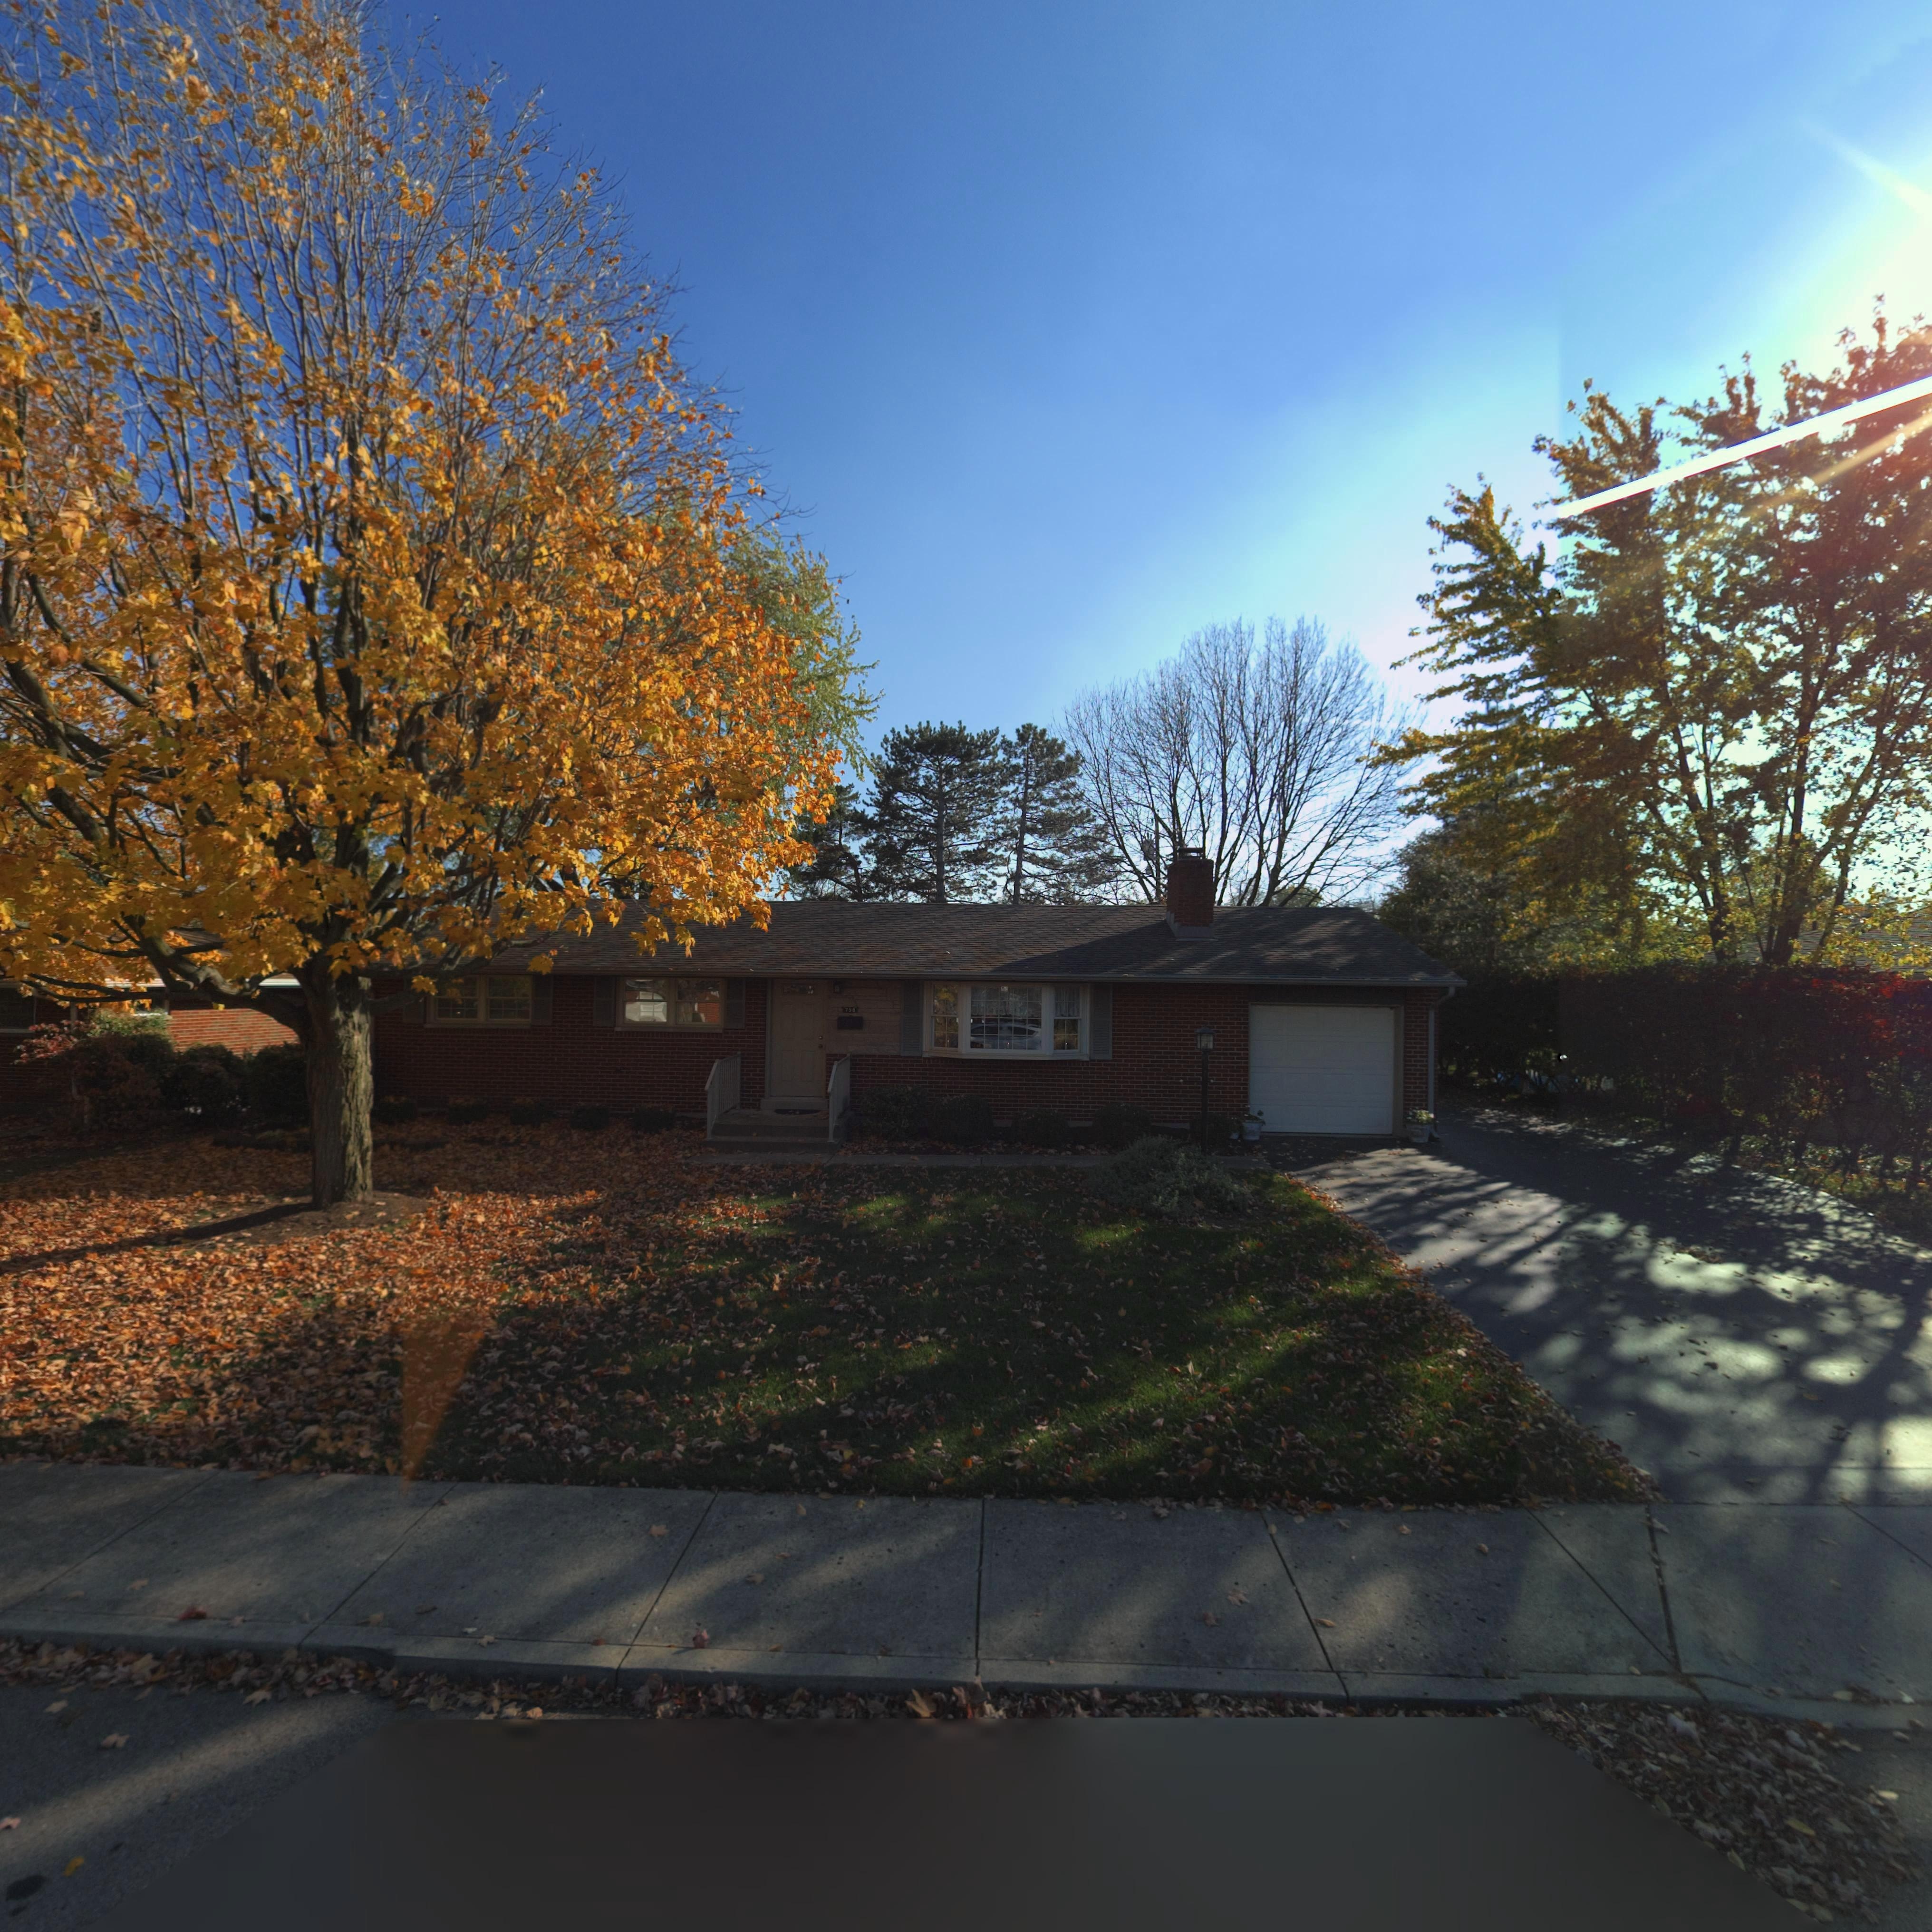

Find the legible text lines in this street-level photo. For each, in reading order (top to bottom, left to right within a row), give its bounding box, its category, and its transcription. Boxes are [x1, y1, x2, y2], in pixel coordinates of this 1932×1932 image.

[844, 1007, 856, 1013] StreetNumber: 75*